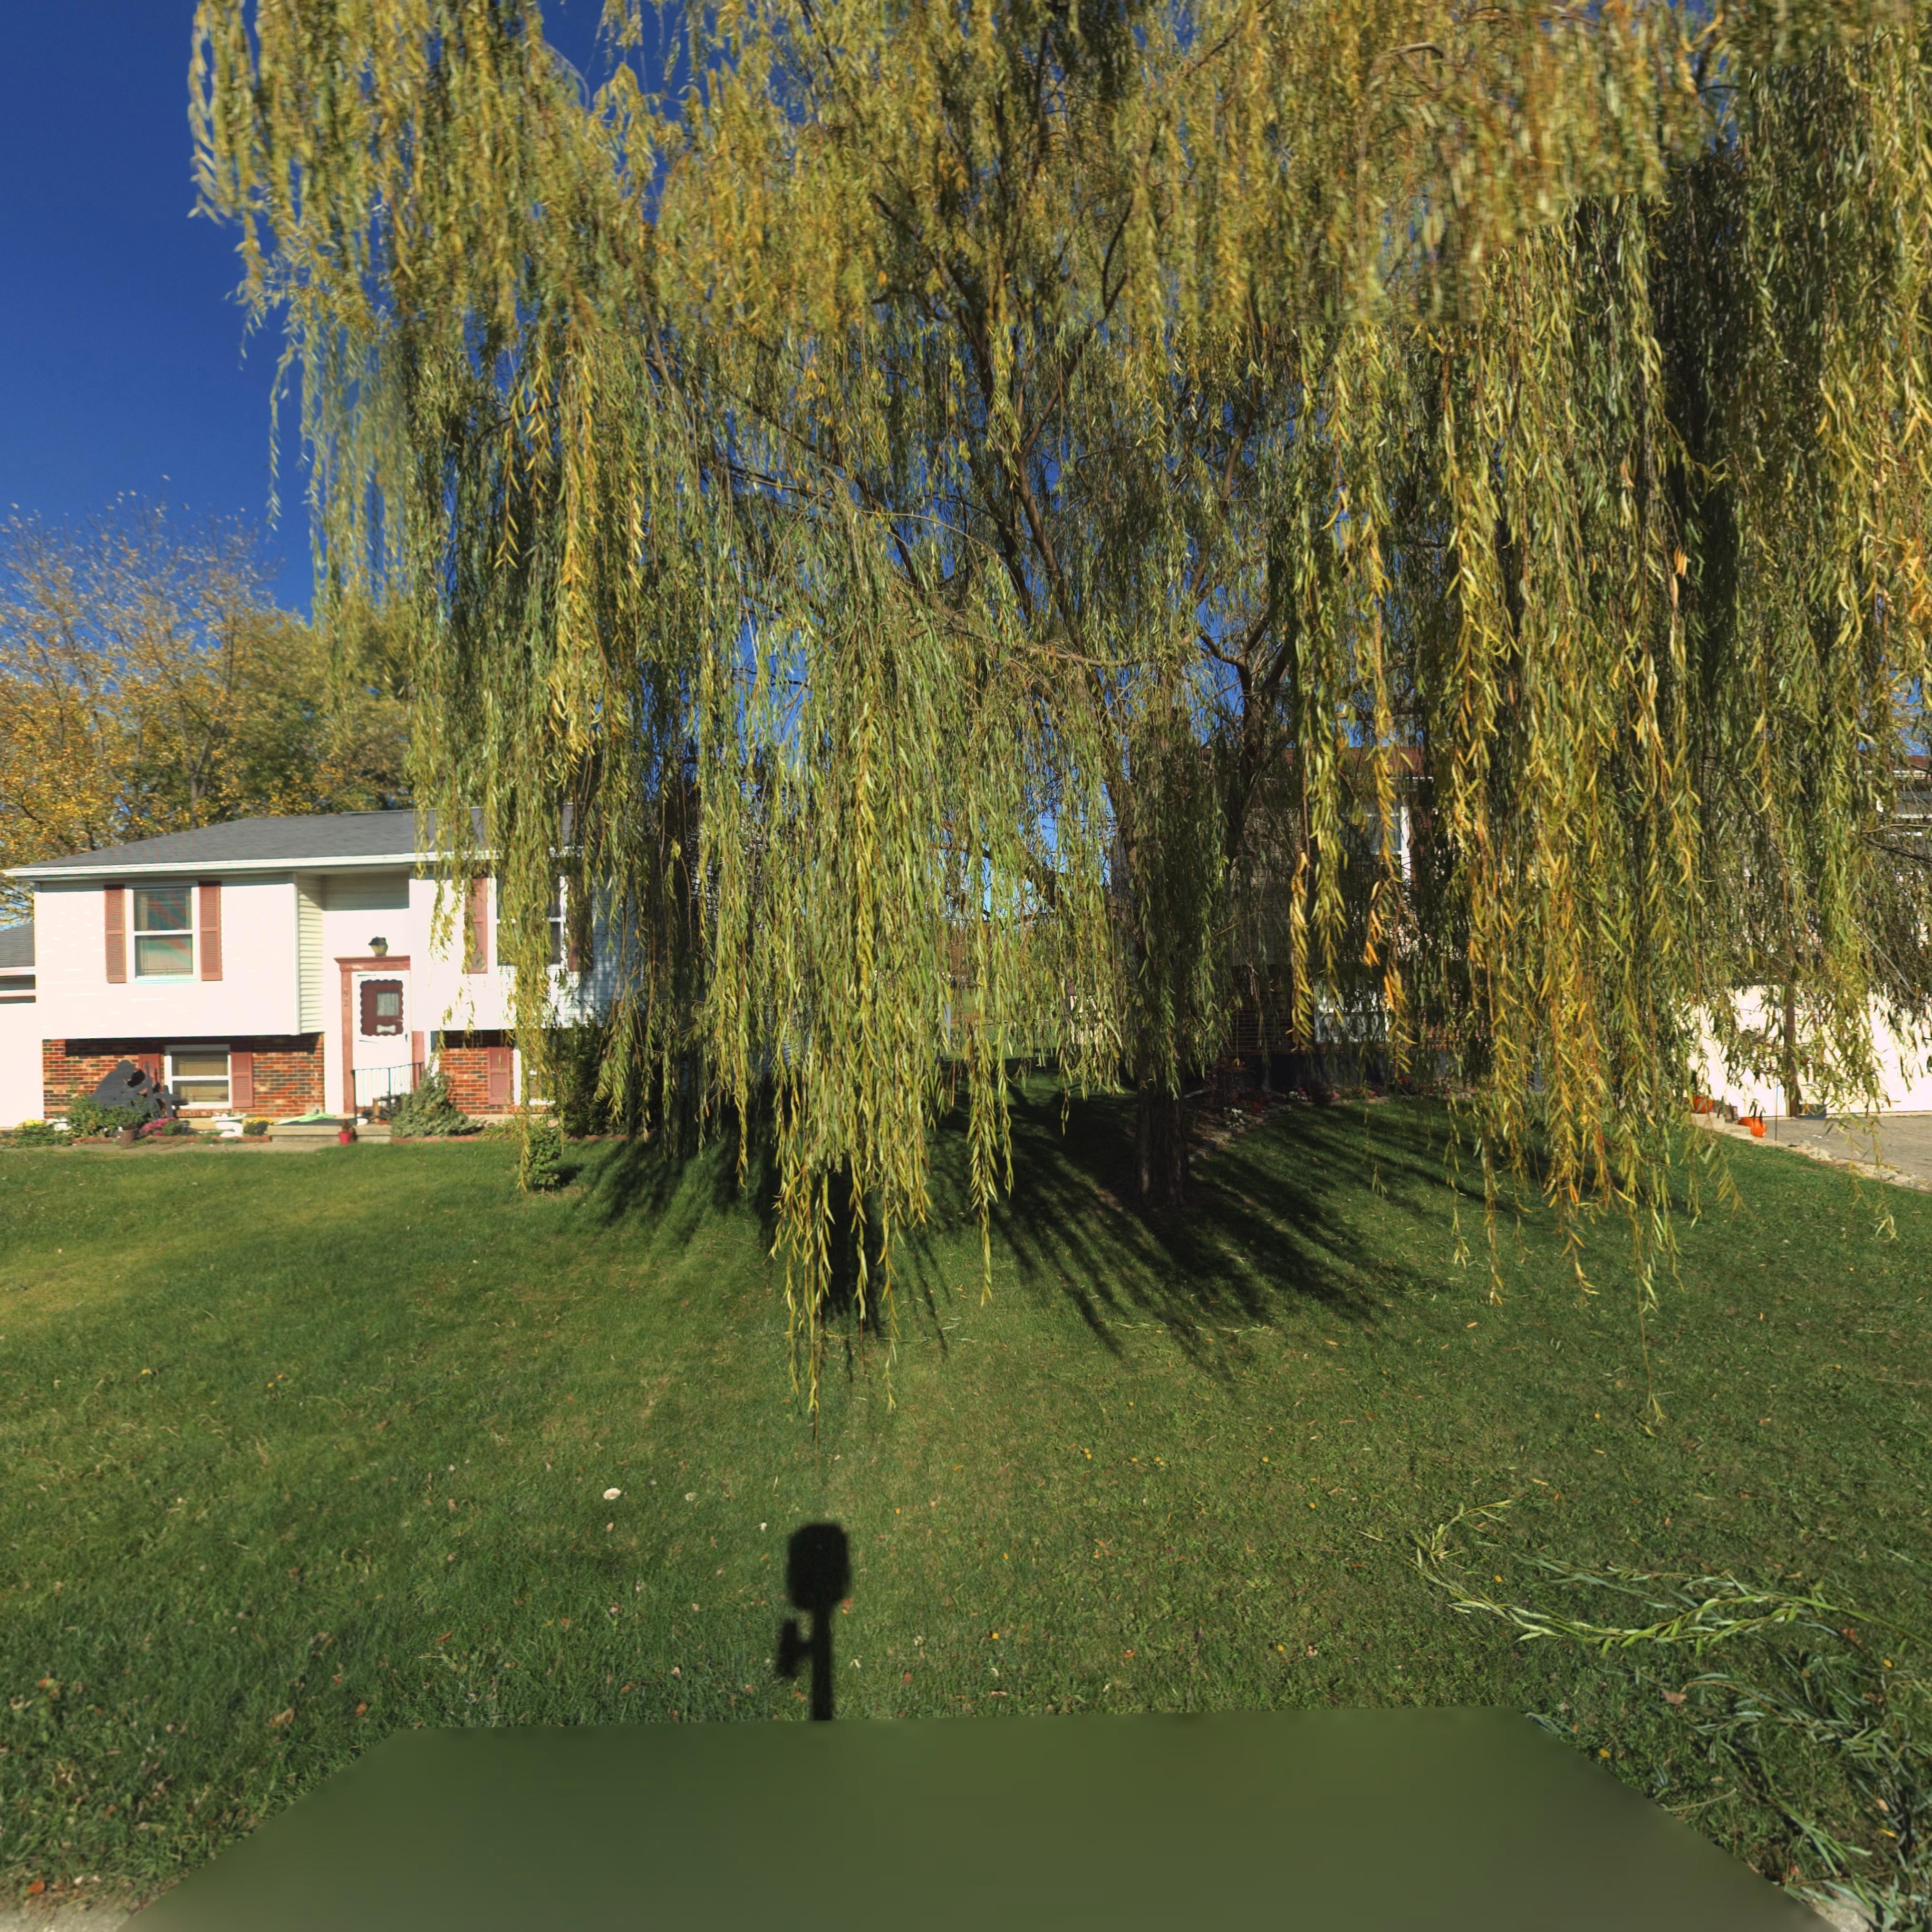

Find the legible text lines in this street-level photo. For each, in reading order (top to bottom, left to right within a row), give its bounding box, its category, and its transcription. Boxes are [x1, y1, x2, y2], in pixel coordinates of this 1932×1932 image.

[342, 979, 350, 1008] StreetNumber: 52